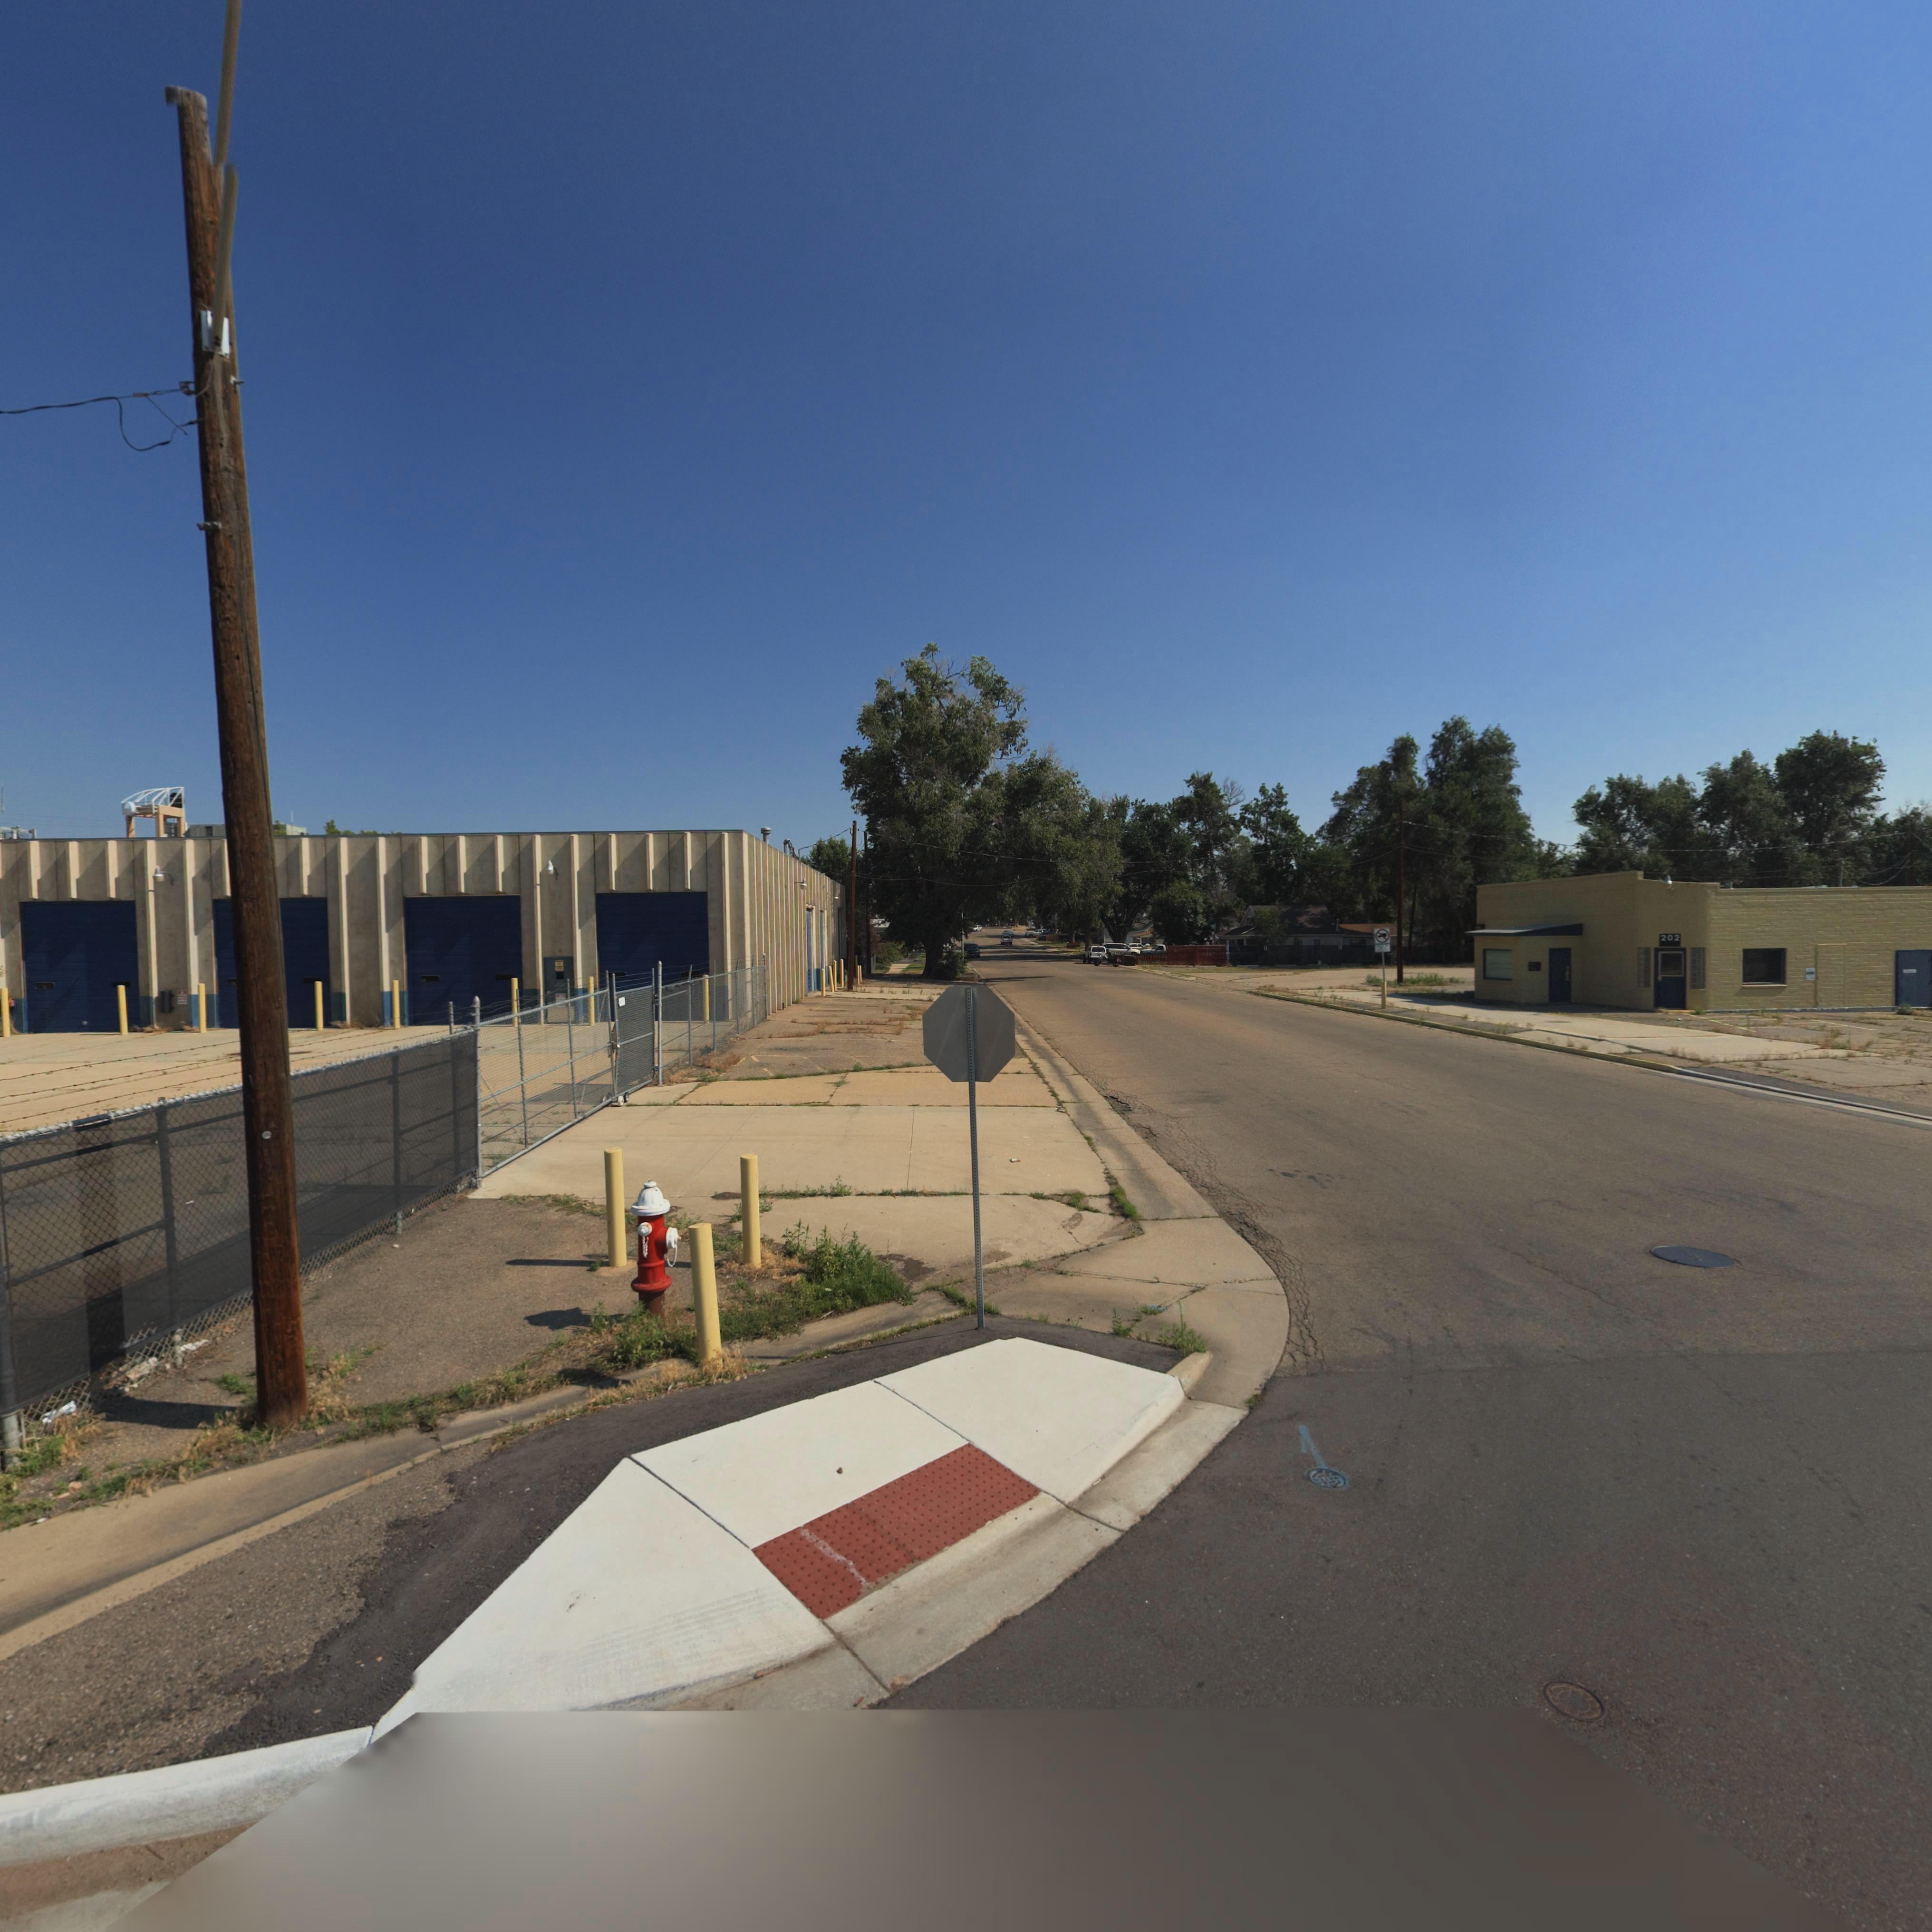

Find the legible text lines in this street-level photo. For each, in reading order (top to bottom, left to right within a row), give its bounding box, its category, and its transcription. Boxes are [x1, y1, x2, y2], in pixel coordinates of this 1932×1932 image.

[1660, 934, 1680, 942] StreetNumber: 202